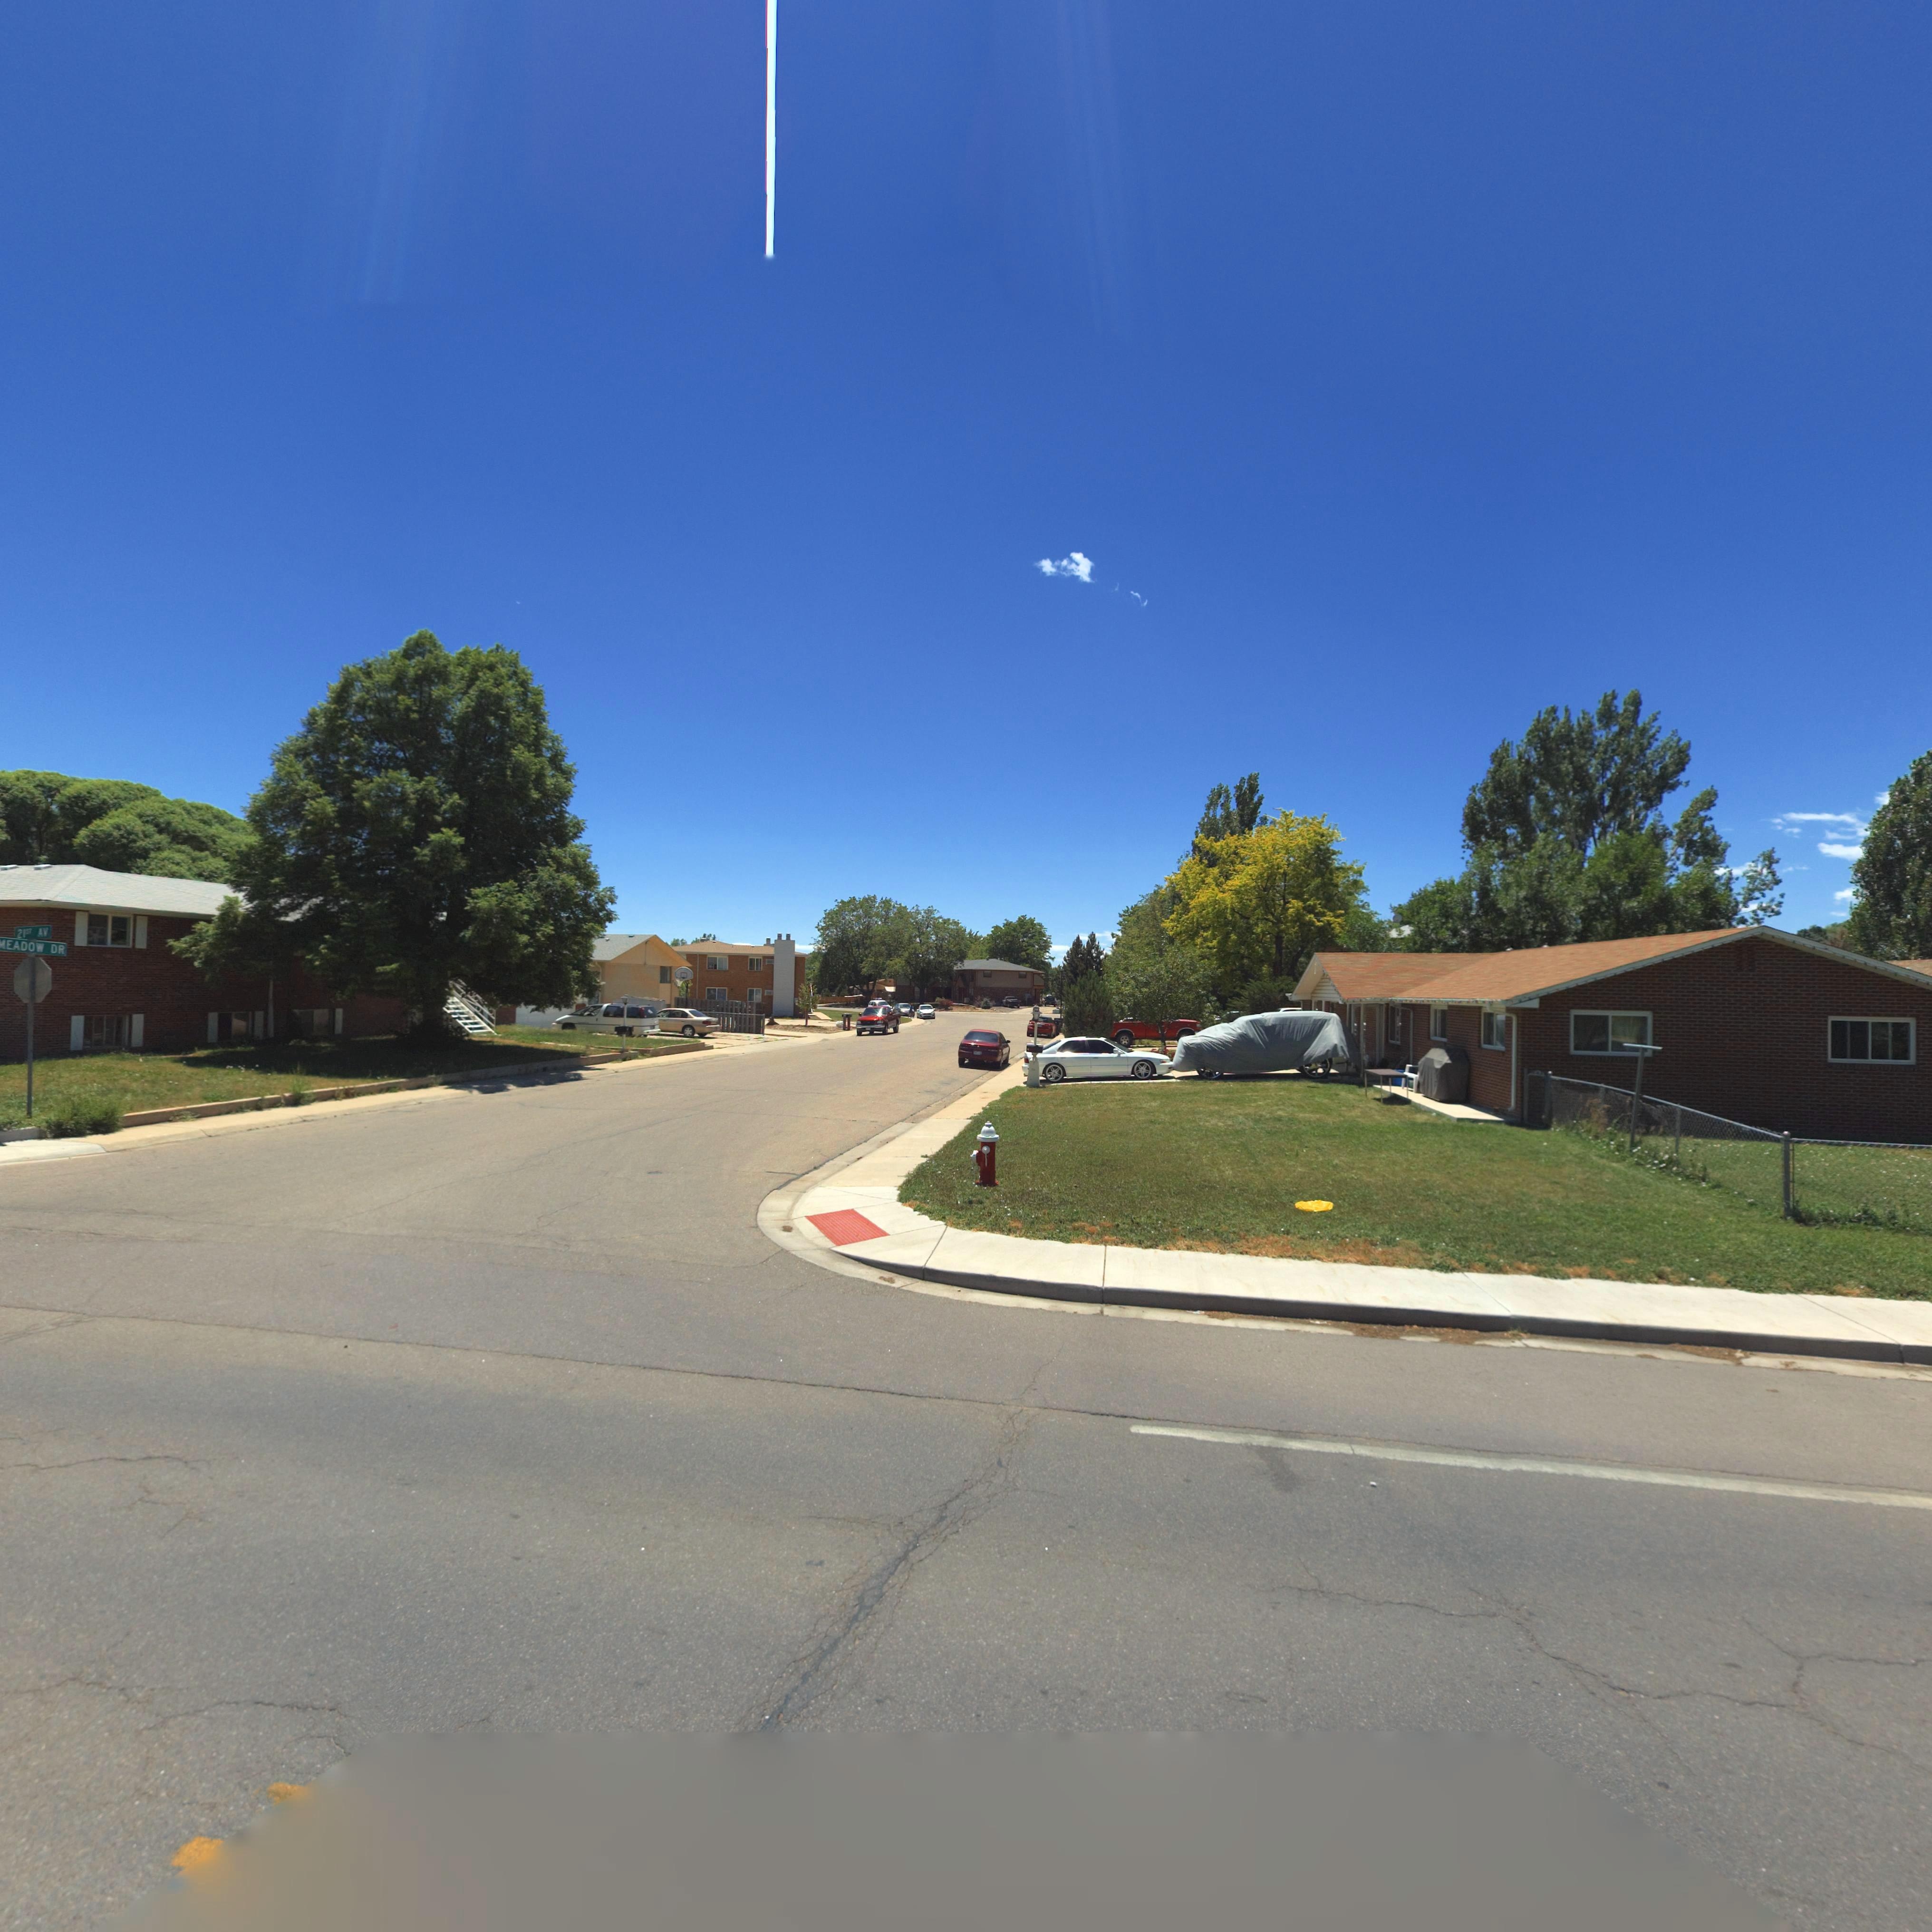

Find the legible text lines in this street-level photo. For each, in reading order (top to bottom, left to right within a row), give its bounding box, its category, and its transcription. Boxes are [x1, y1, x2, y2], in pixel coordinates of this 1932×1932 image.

[16, 927, 49, 938] StreetName: 21ST AV
[6, 939, 65, 954] StreetName: EADOW DR